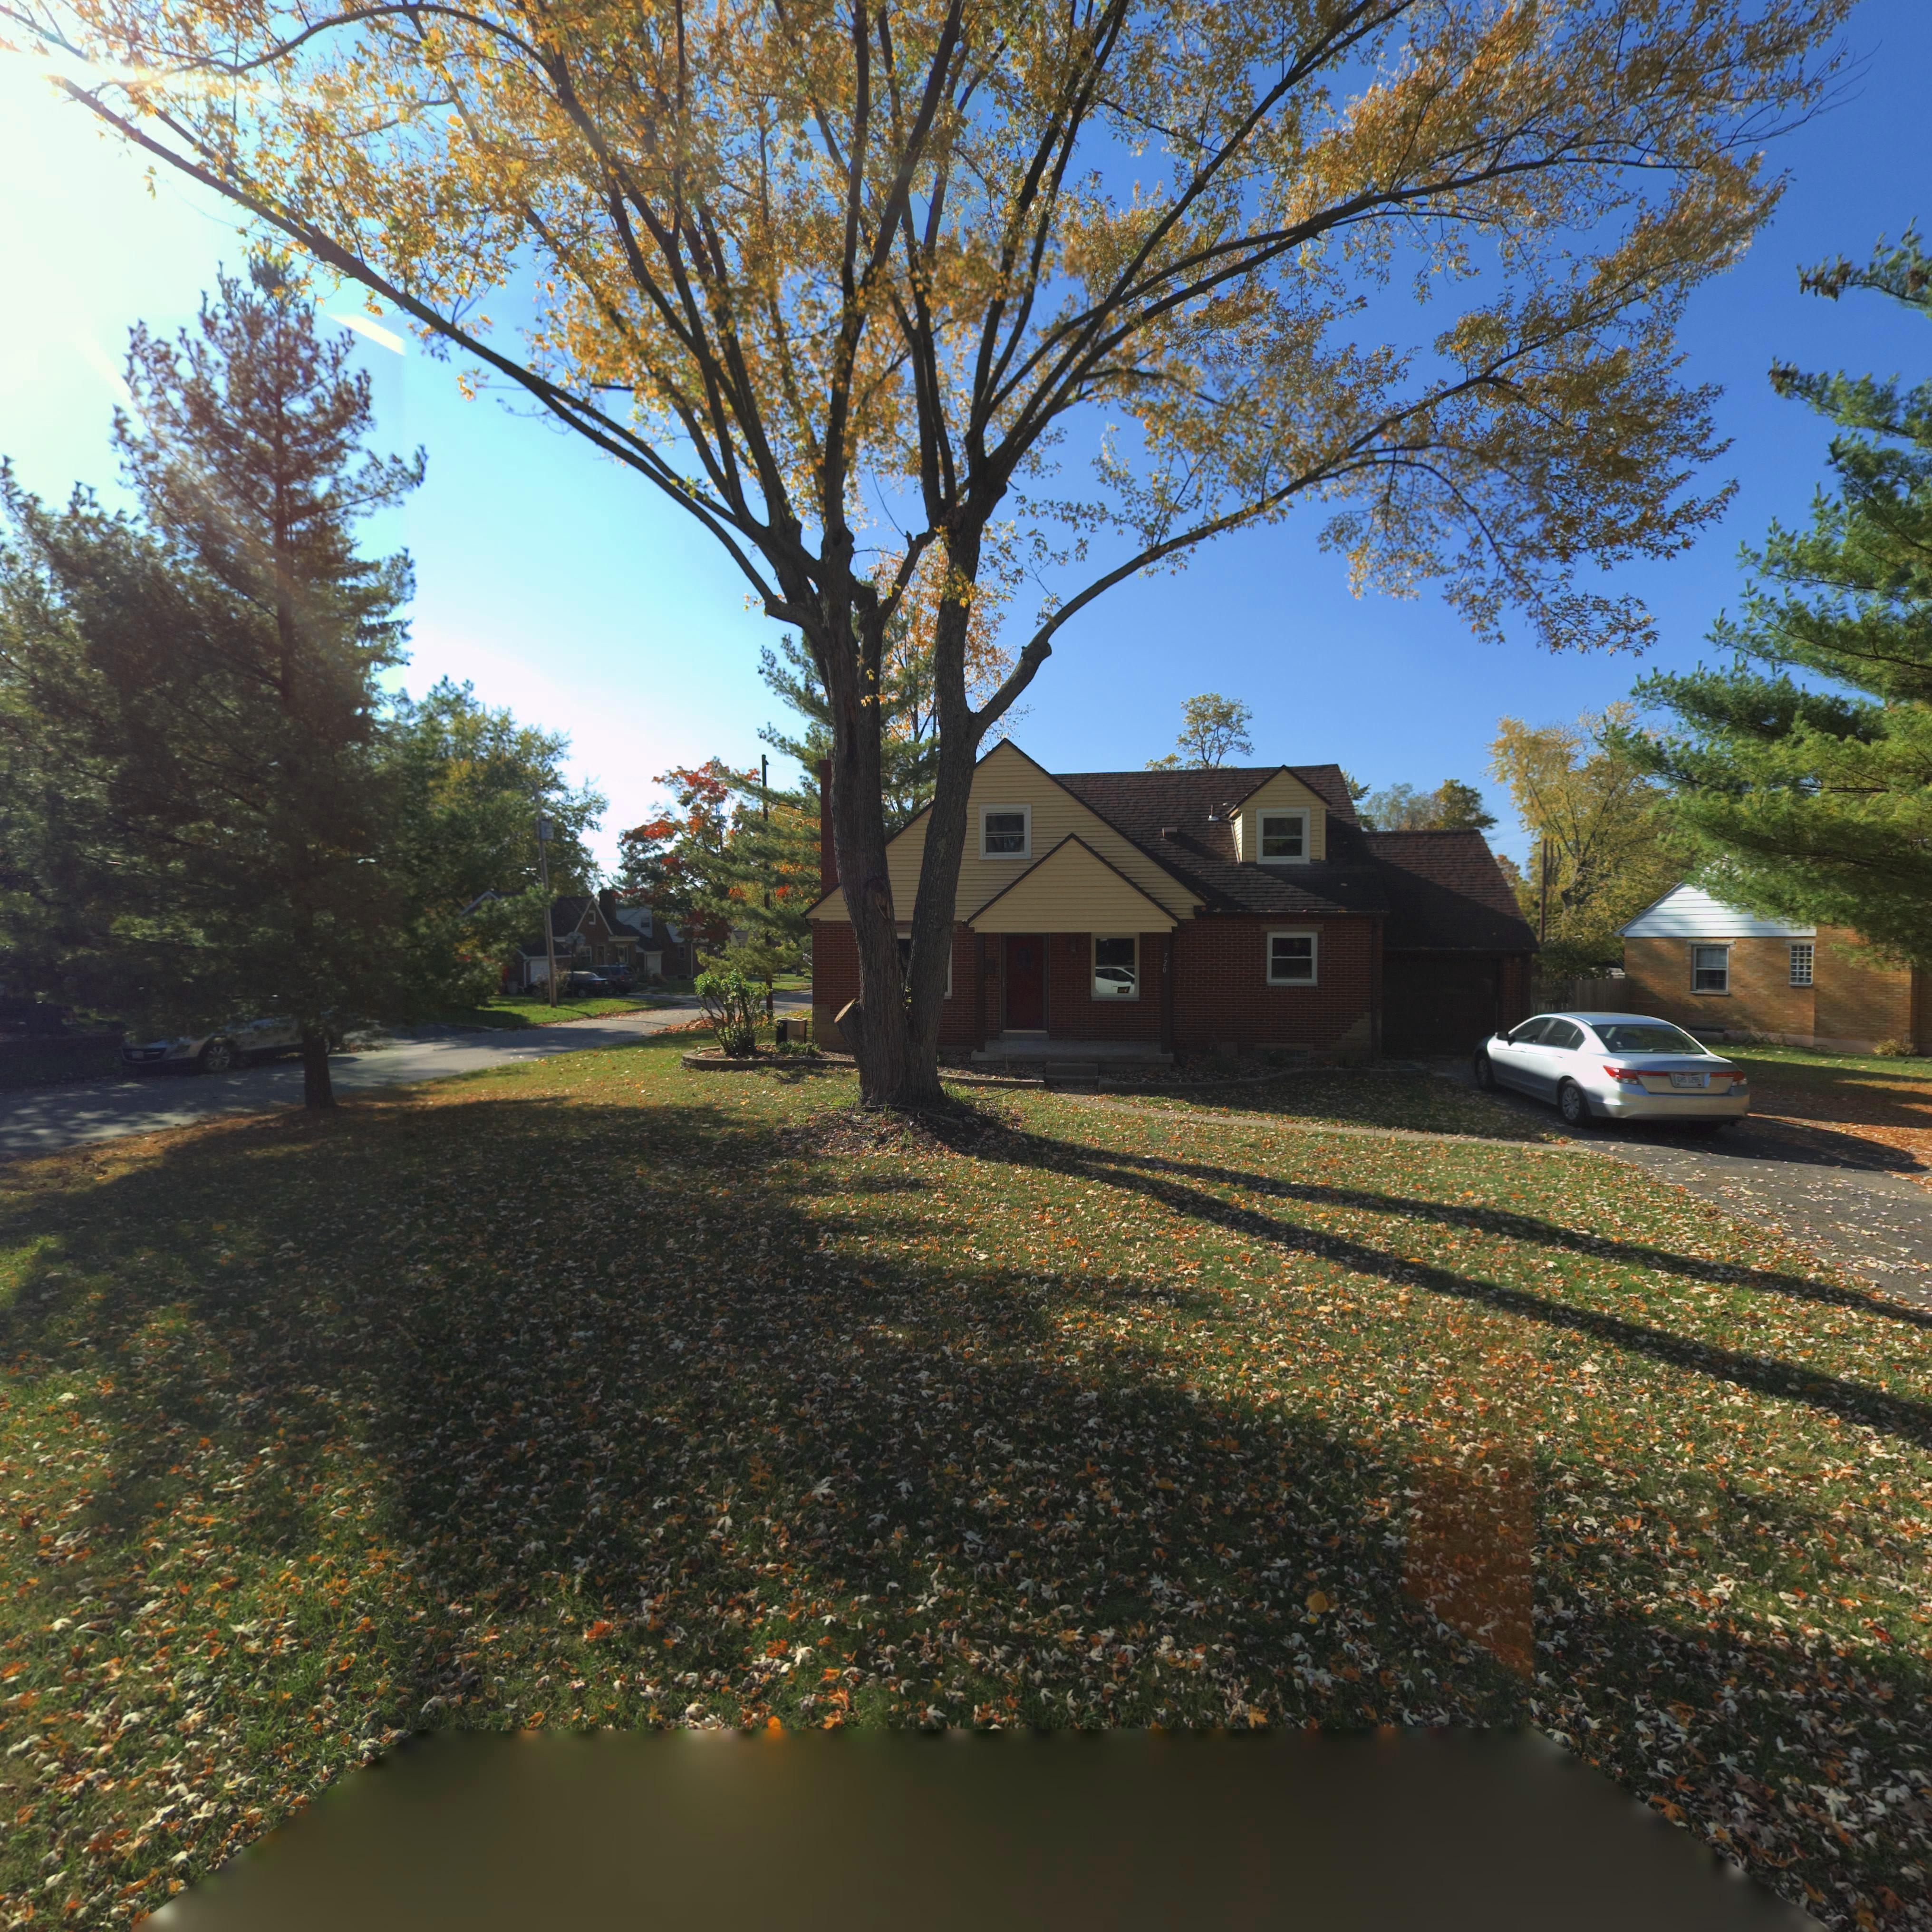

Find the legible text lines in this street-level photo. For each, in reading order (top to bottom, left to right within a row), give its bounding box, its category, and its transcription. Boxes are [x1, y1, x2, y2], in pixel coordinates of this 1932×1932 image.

[1161, 952, 1169, 975] StreetNumber: 720